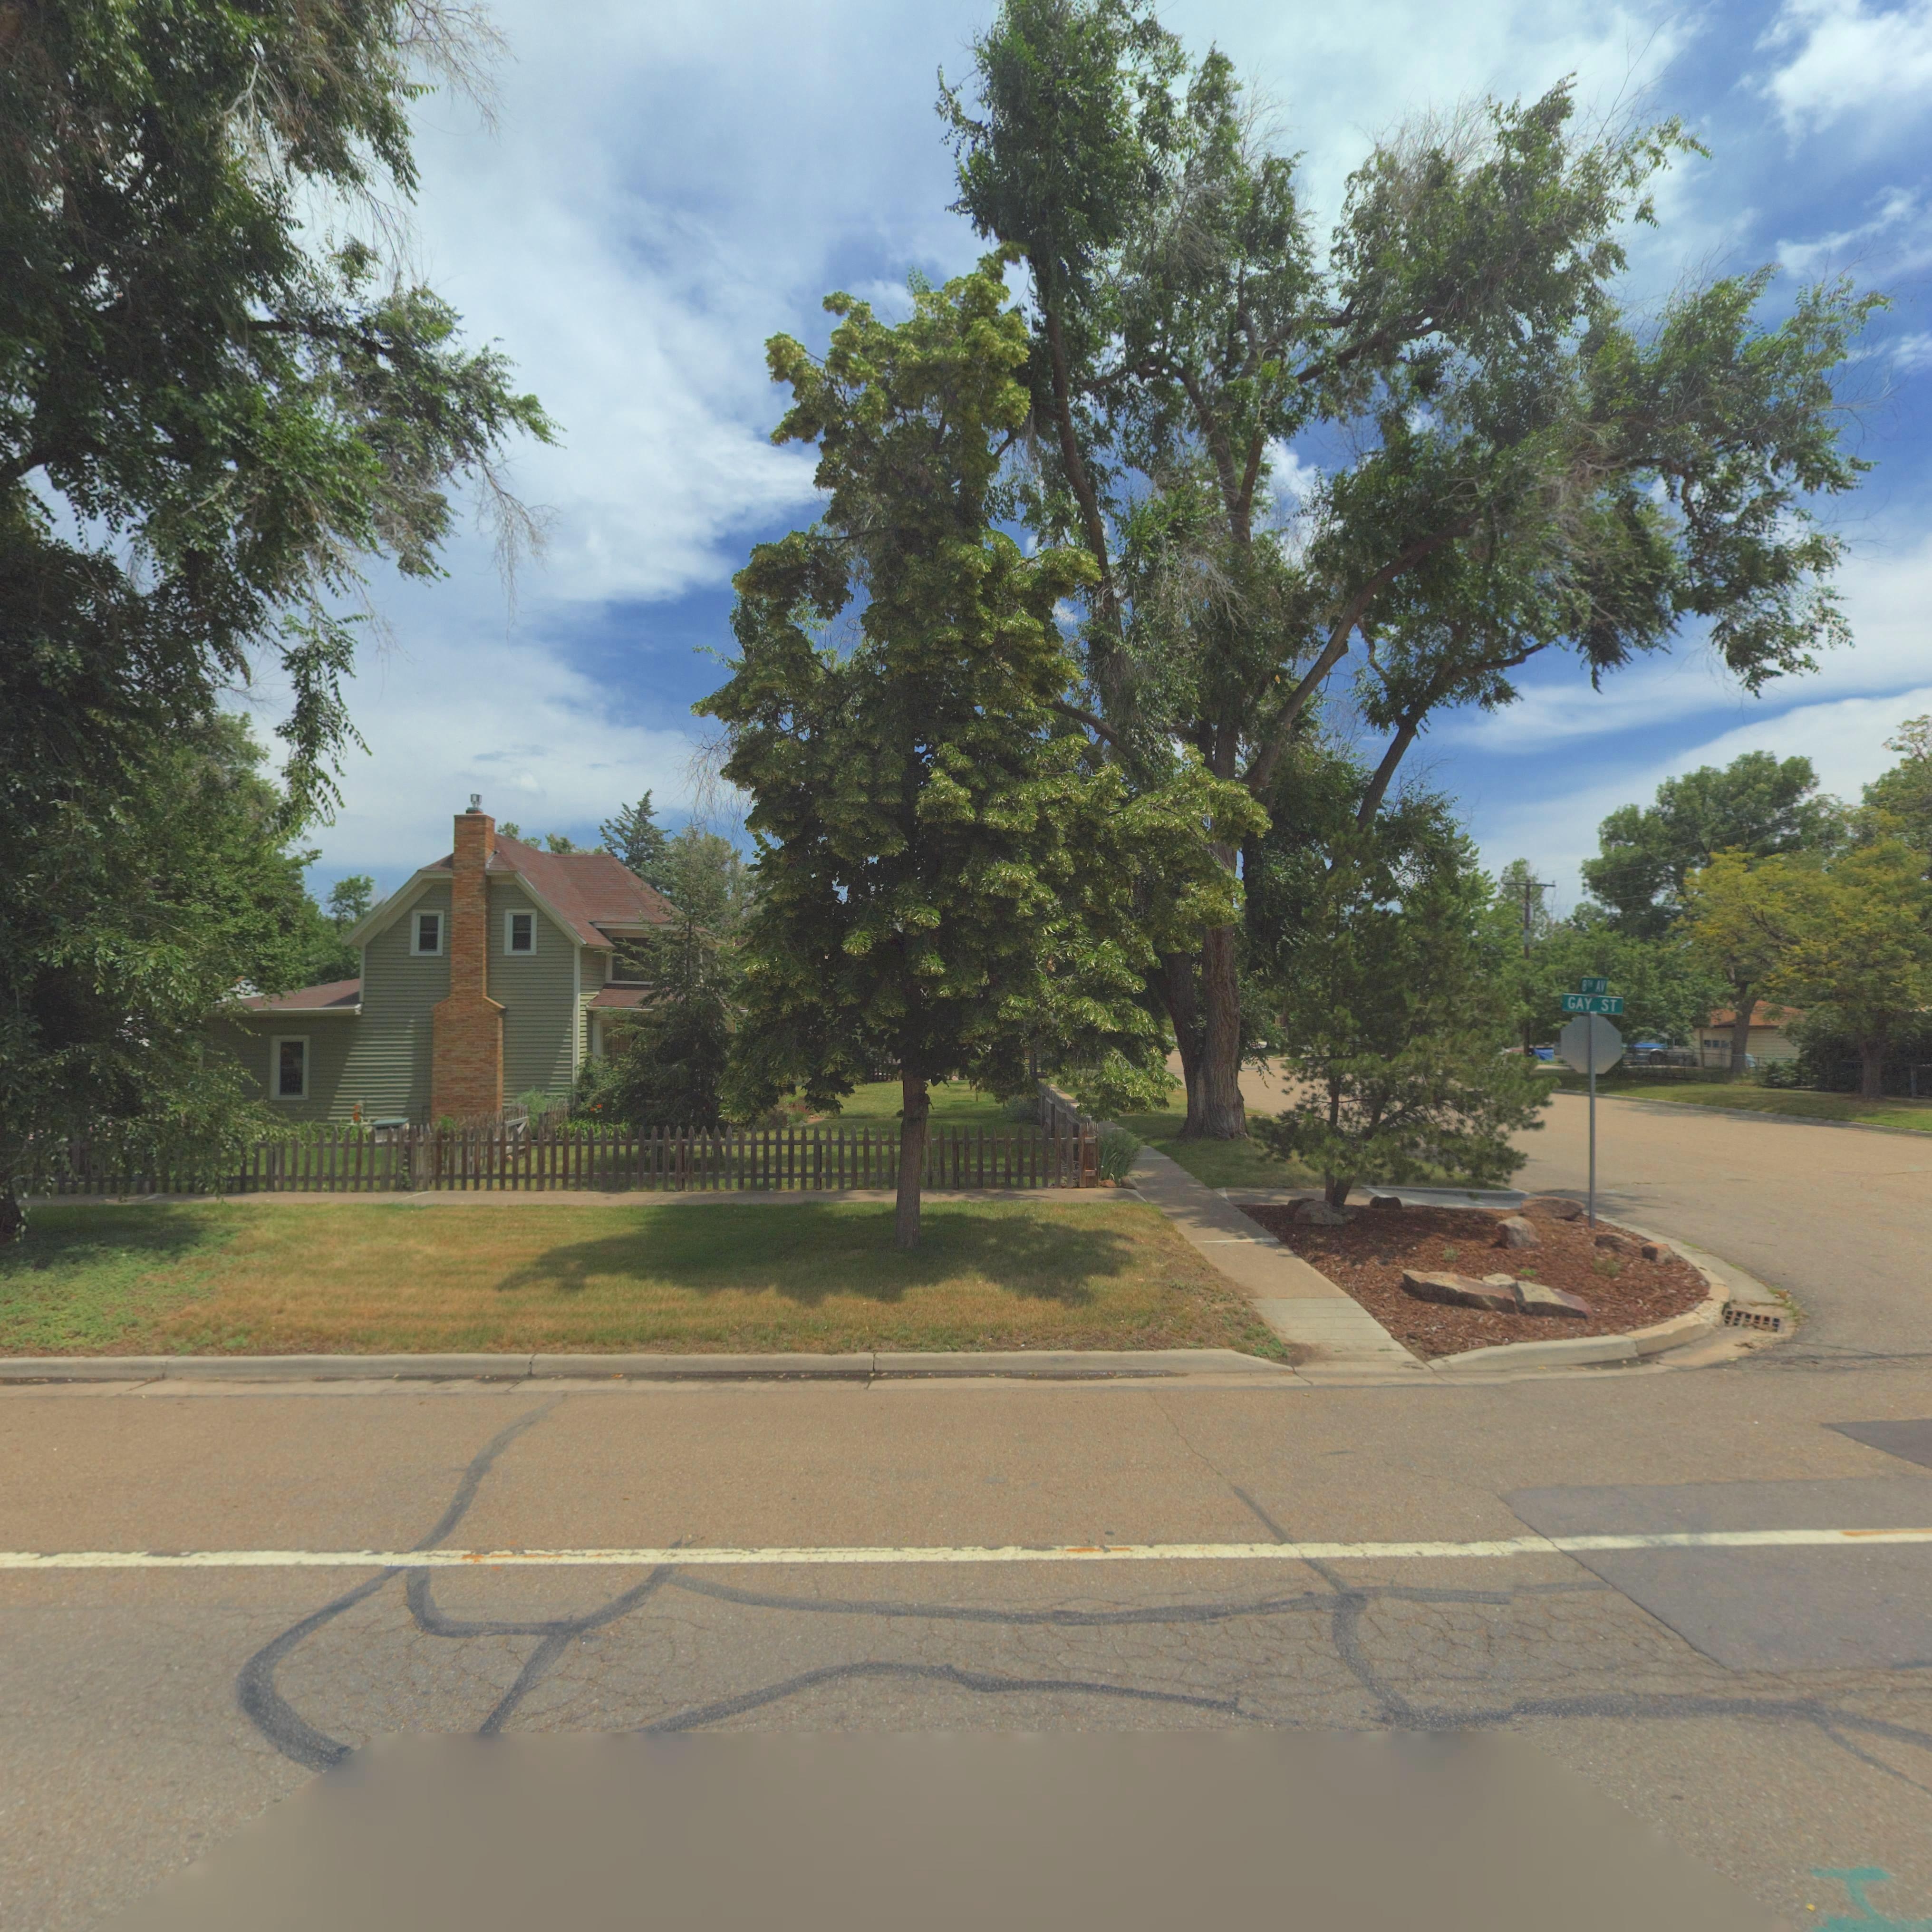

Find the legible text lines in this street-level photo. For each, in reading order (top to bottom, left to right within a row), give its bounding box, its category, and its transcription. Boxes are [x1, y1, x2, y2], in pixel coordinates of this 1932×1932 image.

[1581, 978, 1607, 993] StreetName: 8TH AV
[1568, 996, 1617, 1012] StreetName: GAY ST